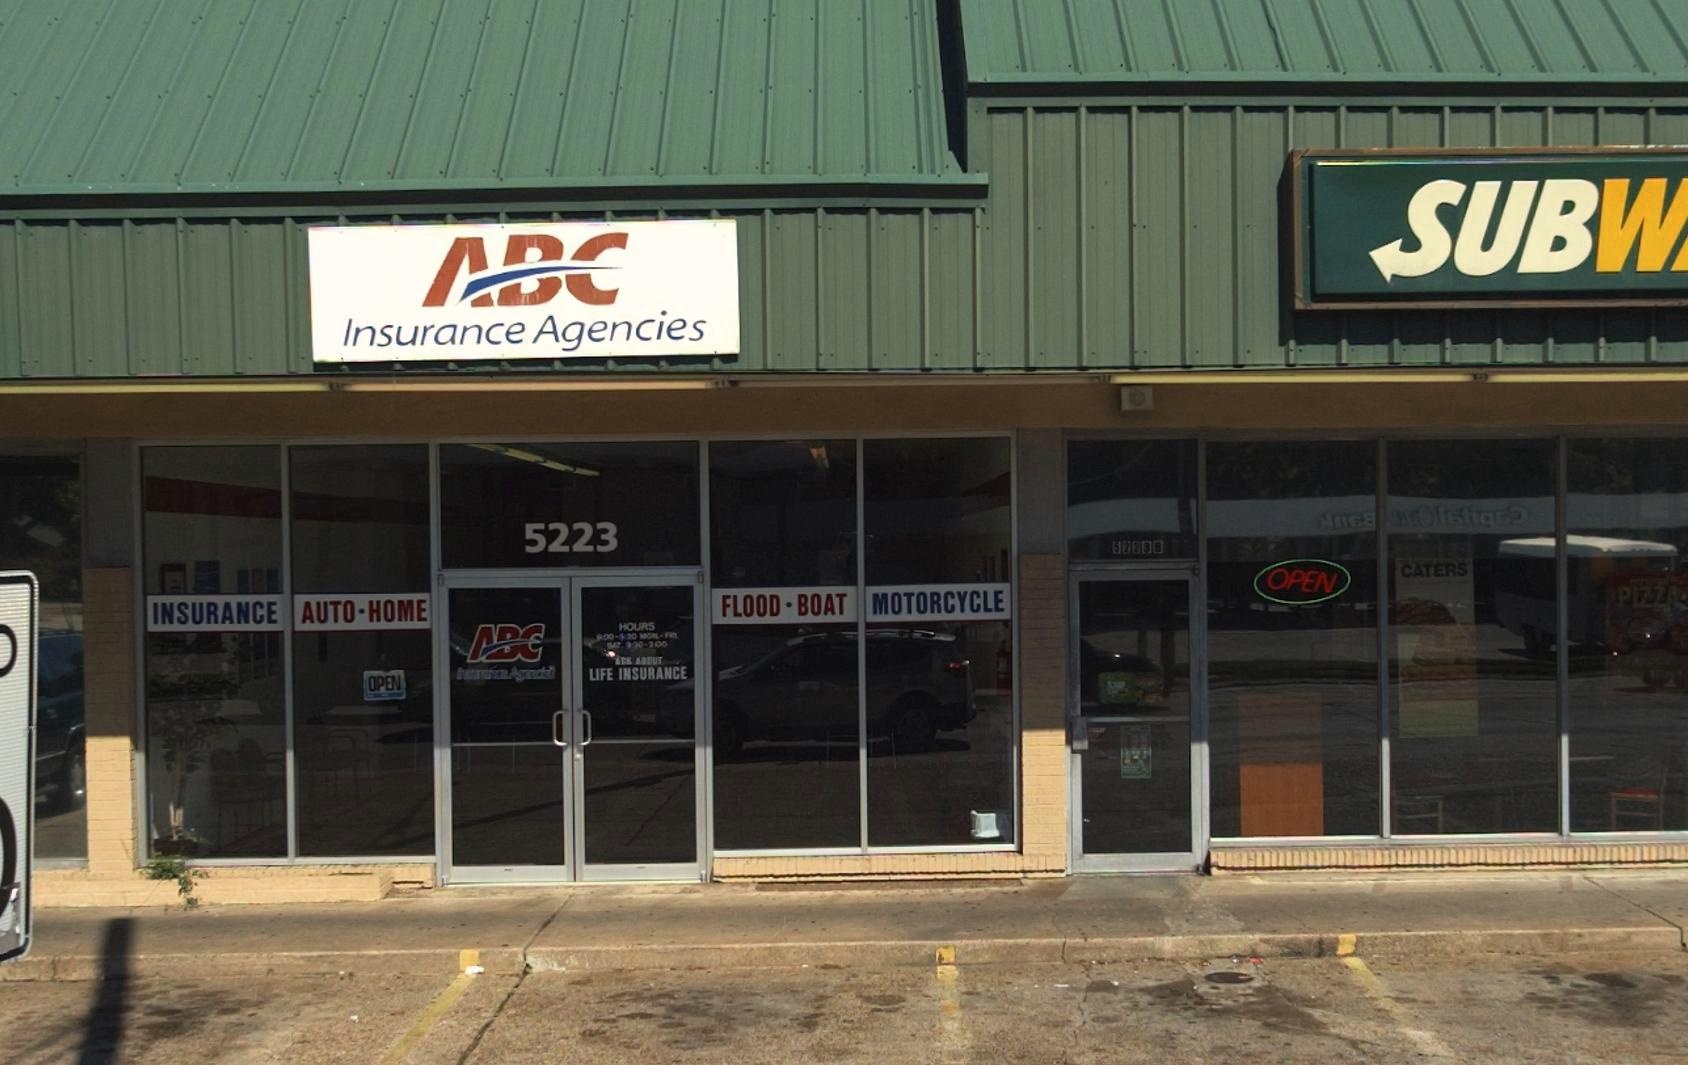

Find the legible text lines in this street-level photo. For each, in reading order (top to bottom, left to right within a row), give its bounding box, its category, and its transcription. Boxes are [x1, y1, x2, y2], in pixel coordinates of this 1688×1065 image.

[1391, 173, 1603, 280] BusinessName: SUB
[414, 228, 633, 312] BusinessName: ABC
[339, 307, 710, 354] BusinessName: Insurance Agencies
[1313, 501, 1533, 536] None: ******Ol*ti***
[521, 518, 622, 559] StreetNumber: 5223
[1111, 538, 1164, 556] StreetNumber: 5223B
[1262, 564, 1343, 596] None: OPEN
[1398, 560, 1470, 580] None: CATERS
[150, 598, 281, 628] None: INSURANCE
[297, 596, 430, 628] None: AUTO * HOME
[617, 619, 659, 635] None: HOURS
[719, 590, 851, 621] None: FLOOD * BOAT
[869, 587, 1008, 618] None: MOTORCYCLE
[1616, 584, 1671, 611] None: PIZZ
[463, 621, 546, 665] BusinessName: ABC
[365, 672, 403, 694] None: OPEN
[586, 664, 690, 684] None: LIFE INSURANCE
[611, 654, 666, 668] None: *CE ****T